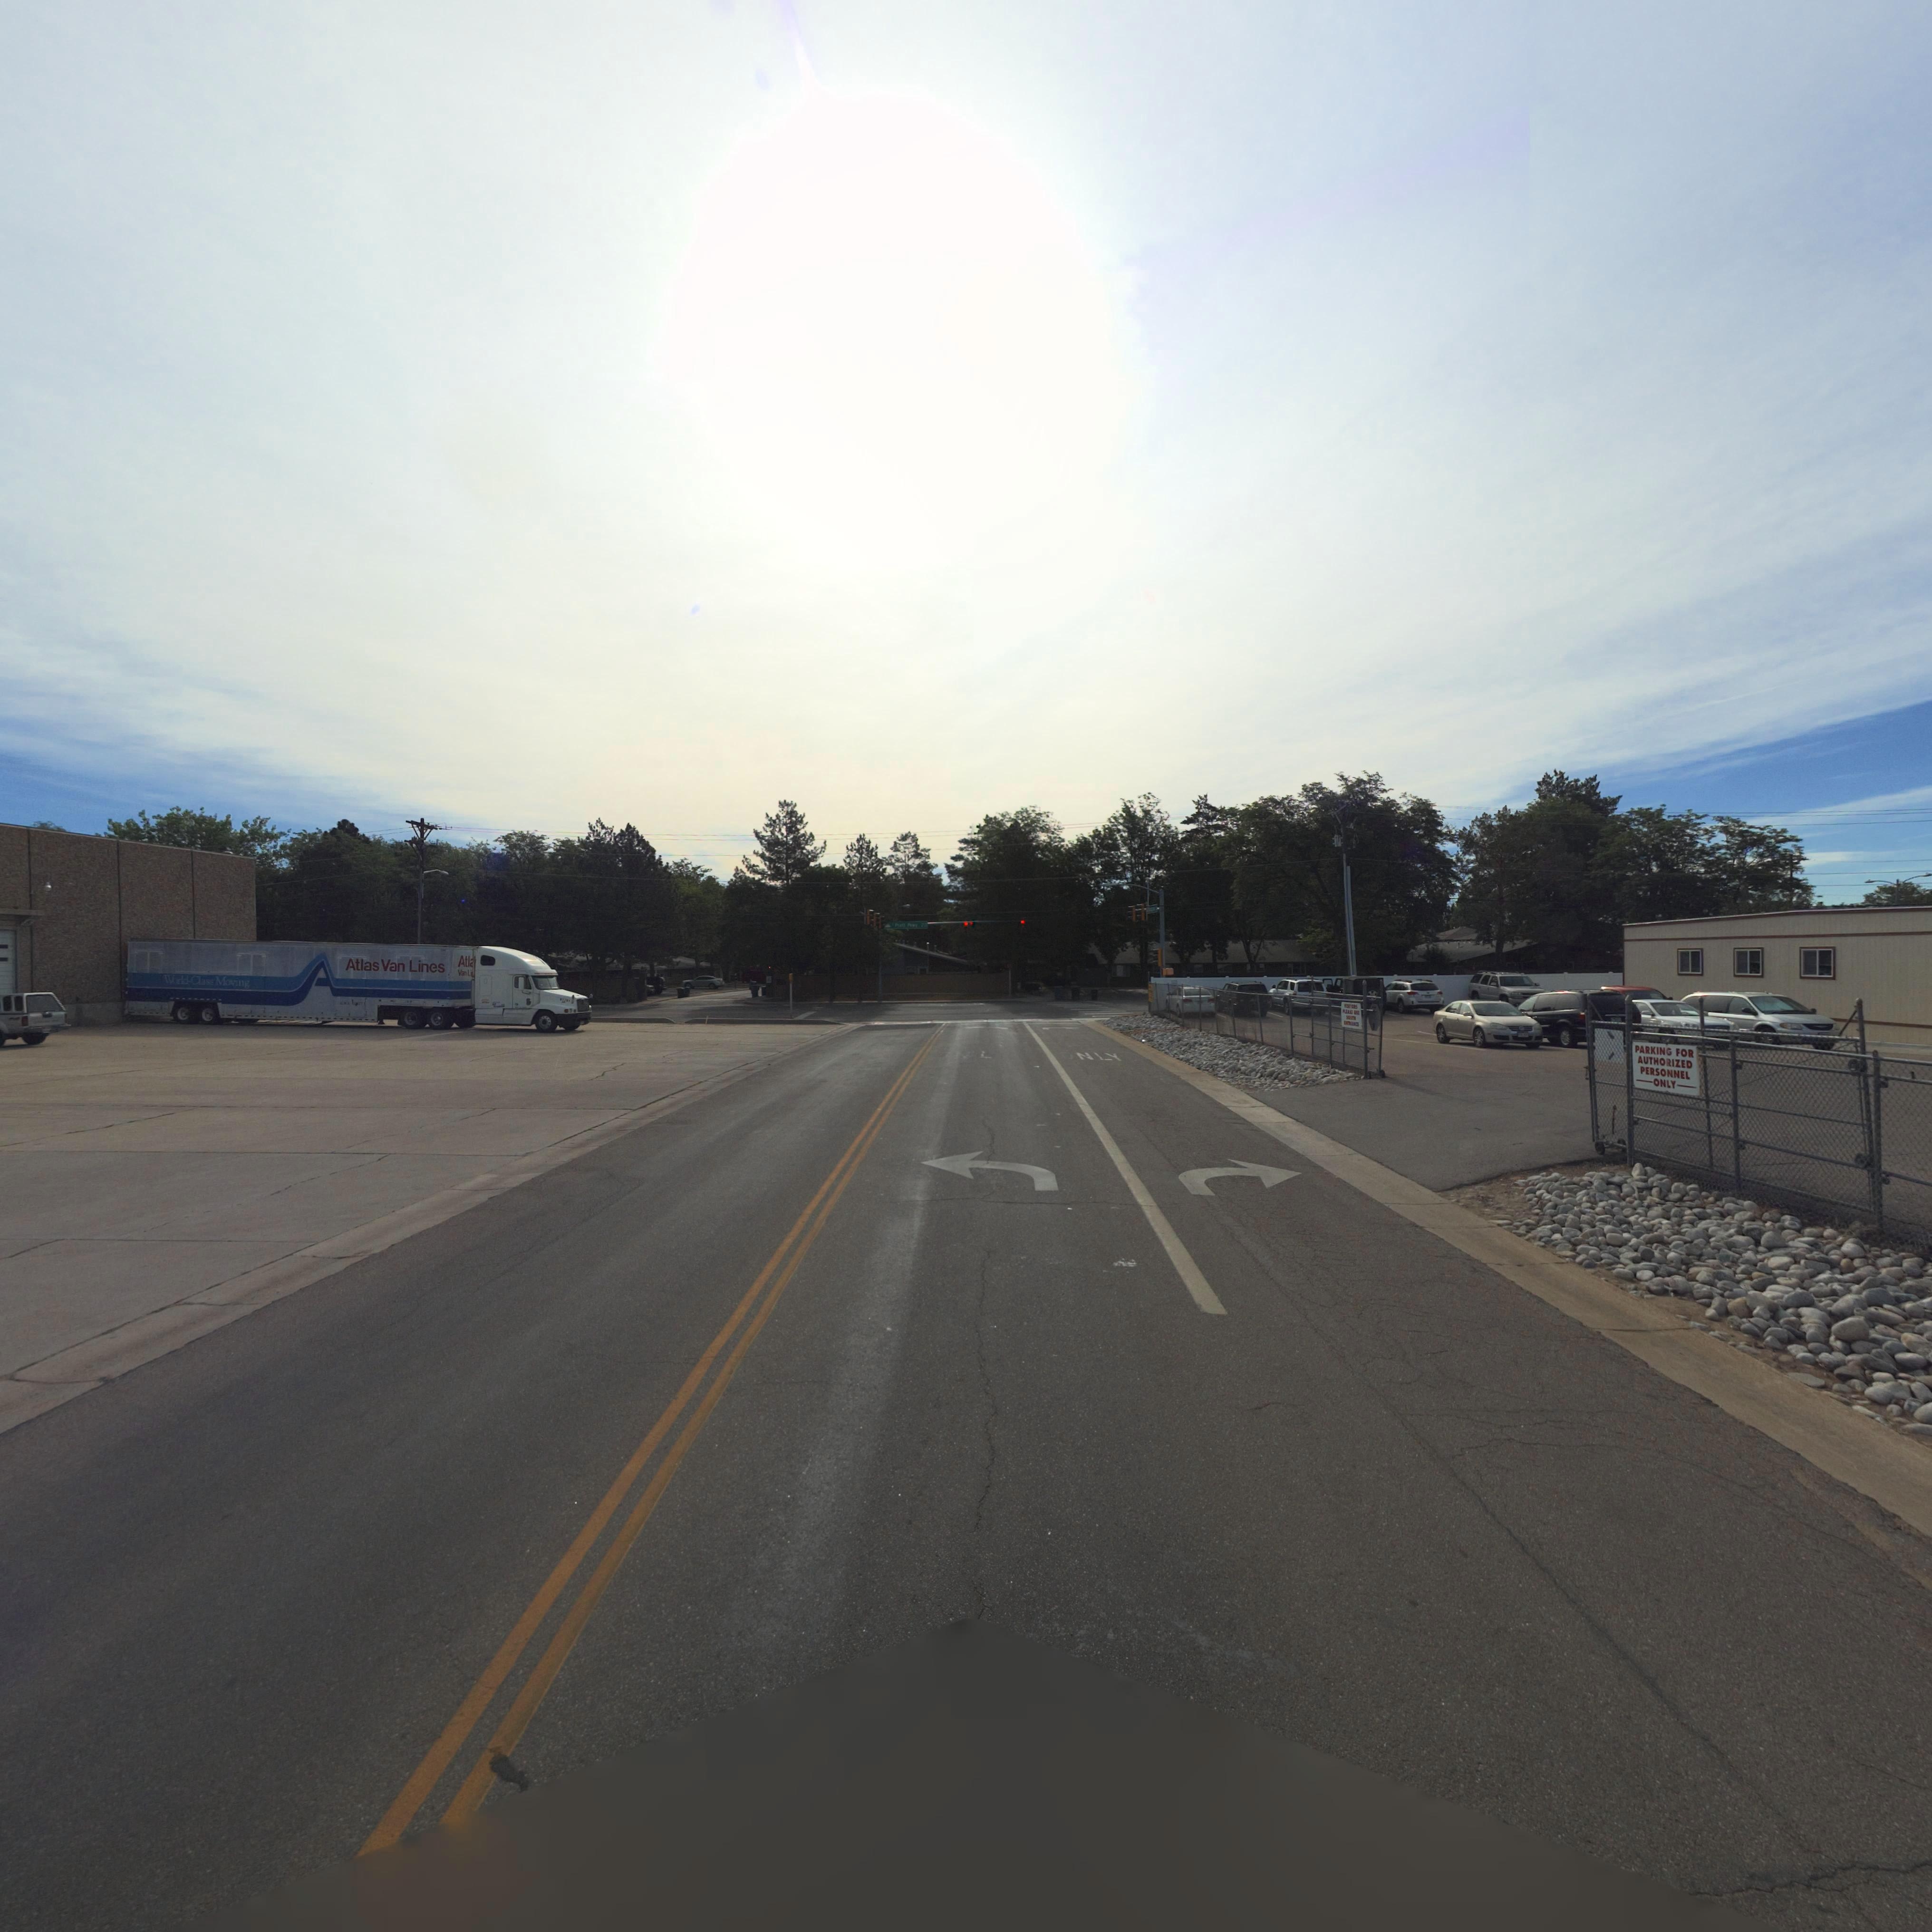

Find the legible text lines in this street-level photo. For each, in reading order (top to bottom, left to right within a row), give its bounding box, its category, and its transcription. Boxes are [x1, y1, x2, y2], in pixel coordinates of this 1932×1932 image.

[895, 922, 918, 928] StreetName: P**** P**y